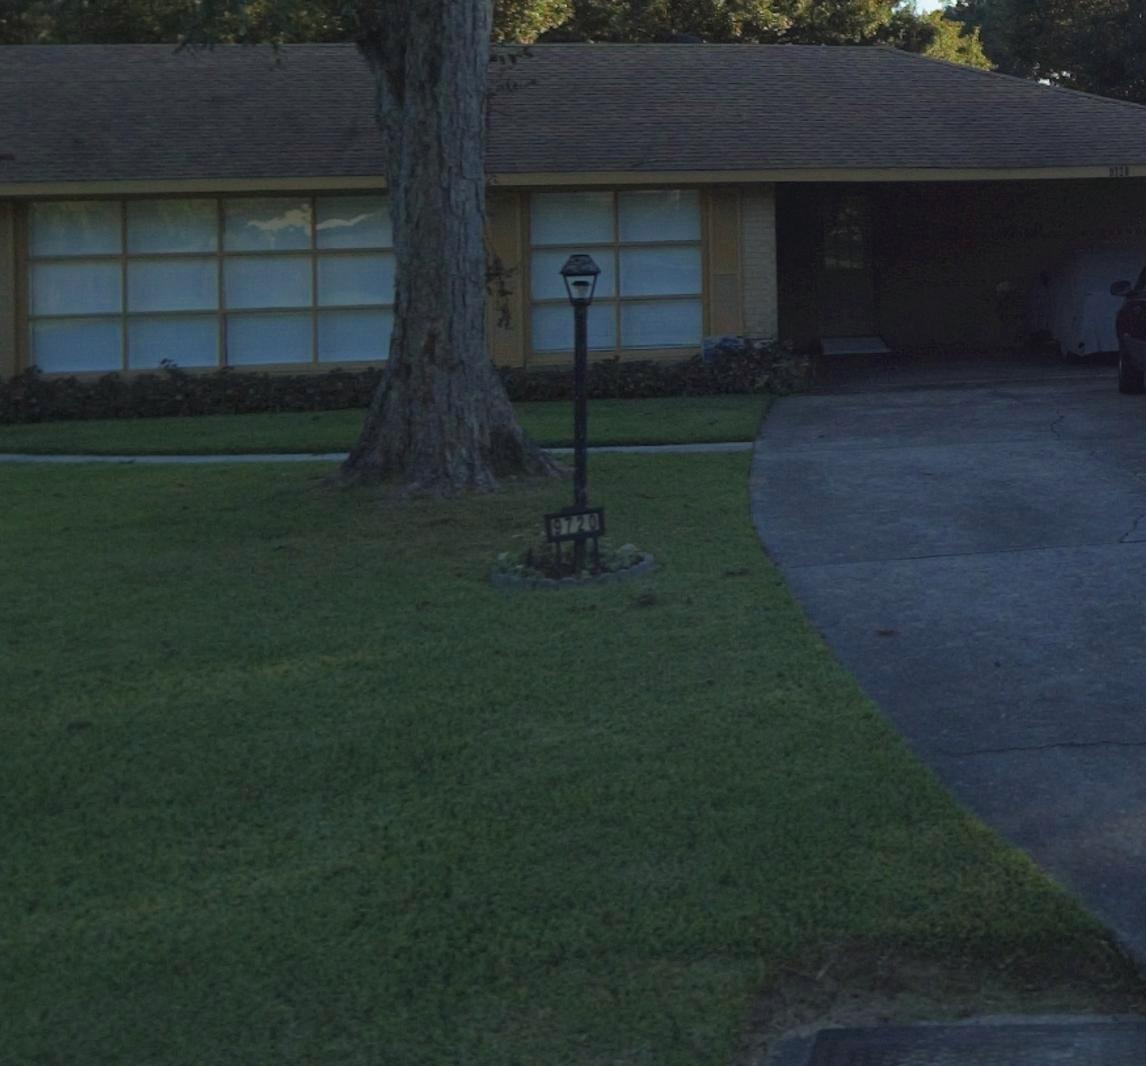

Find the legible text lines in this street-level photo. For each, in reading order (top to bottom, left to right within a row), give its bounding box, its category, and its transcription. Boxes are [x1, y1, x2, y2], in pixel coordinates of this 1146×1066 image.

[552, 512, 599, 537] StreetNumber: 9720